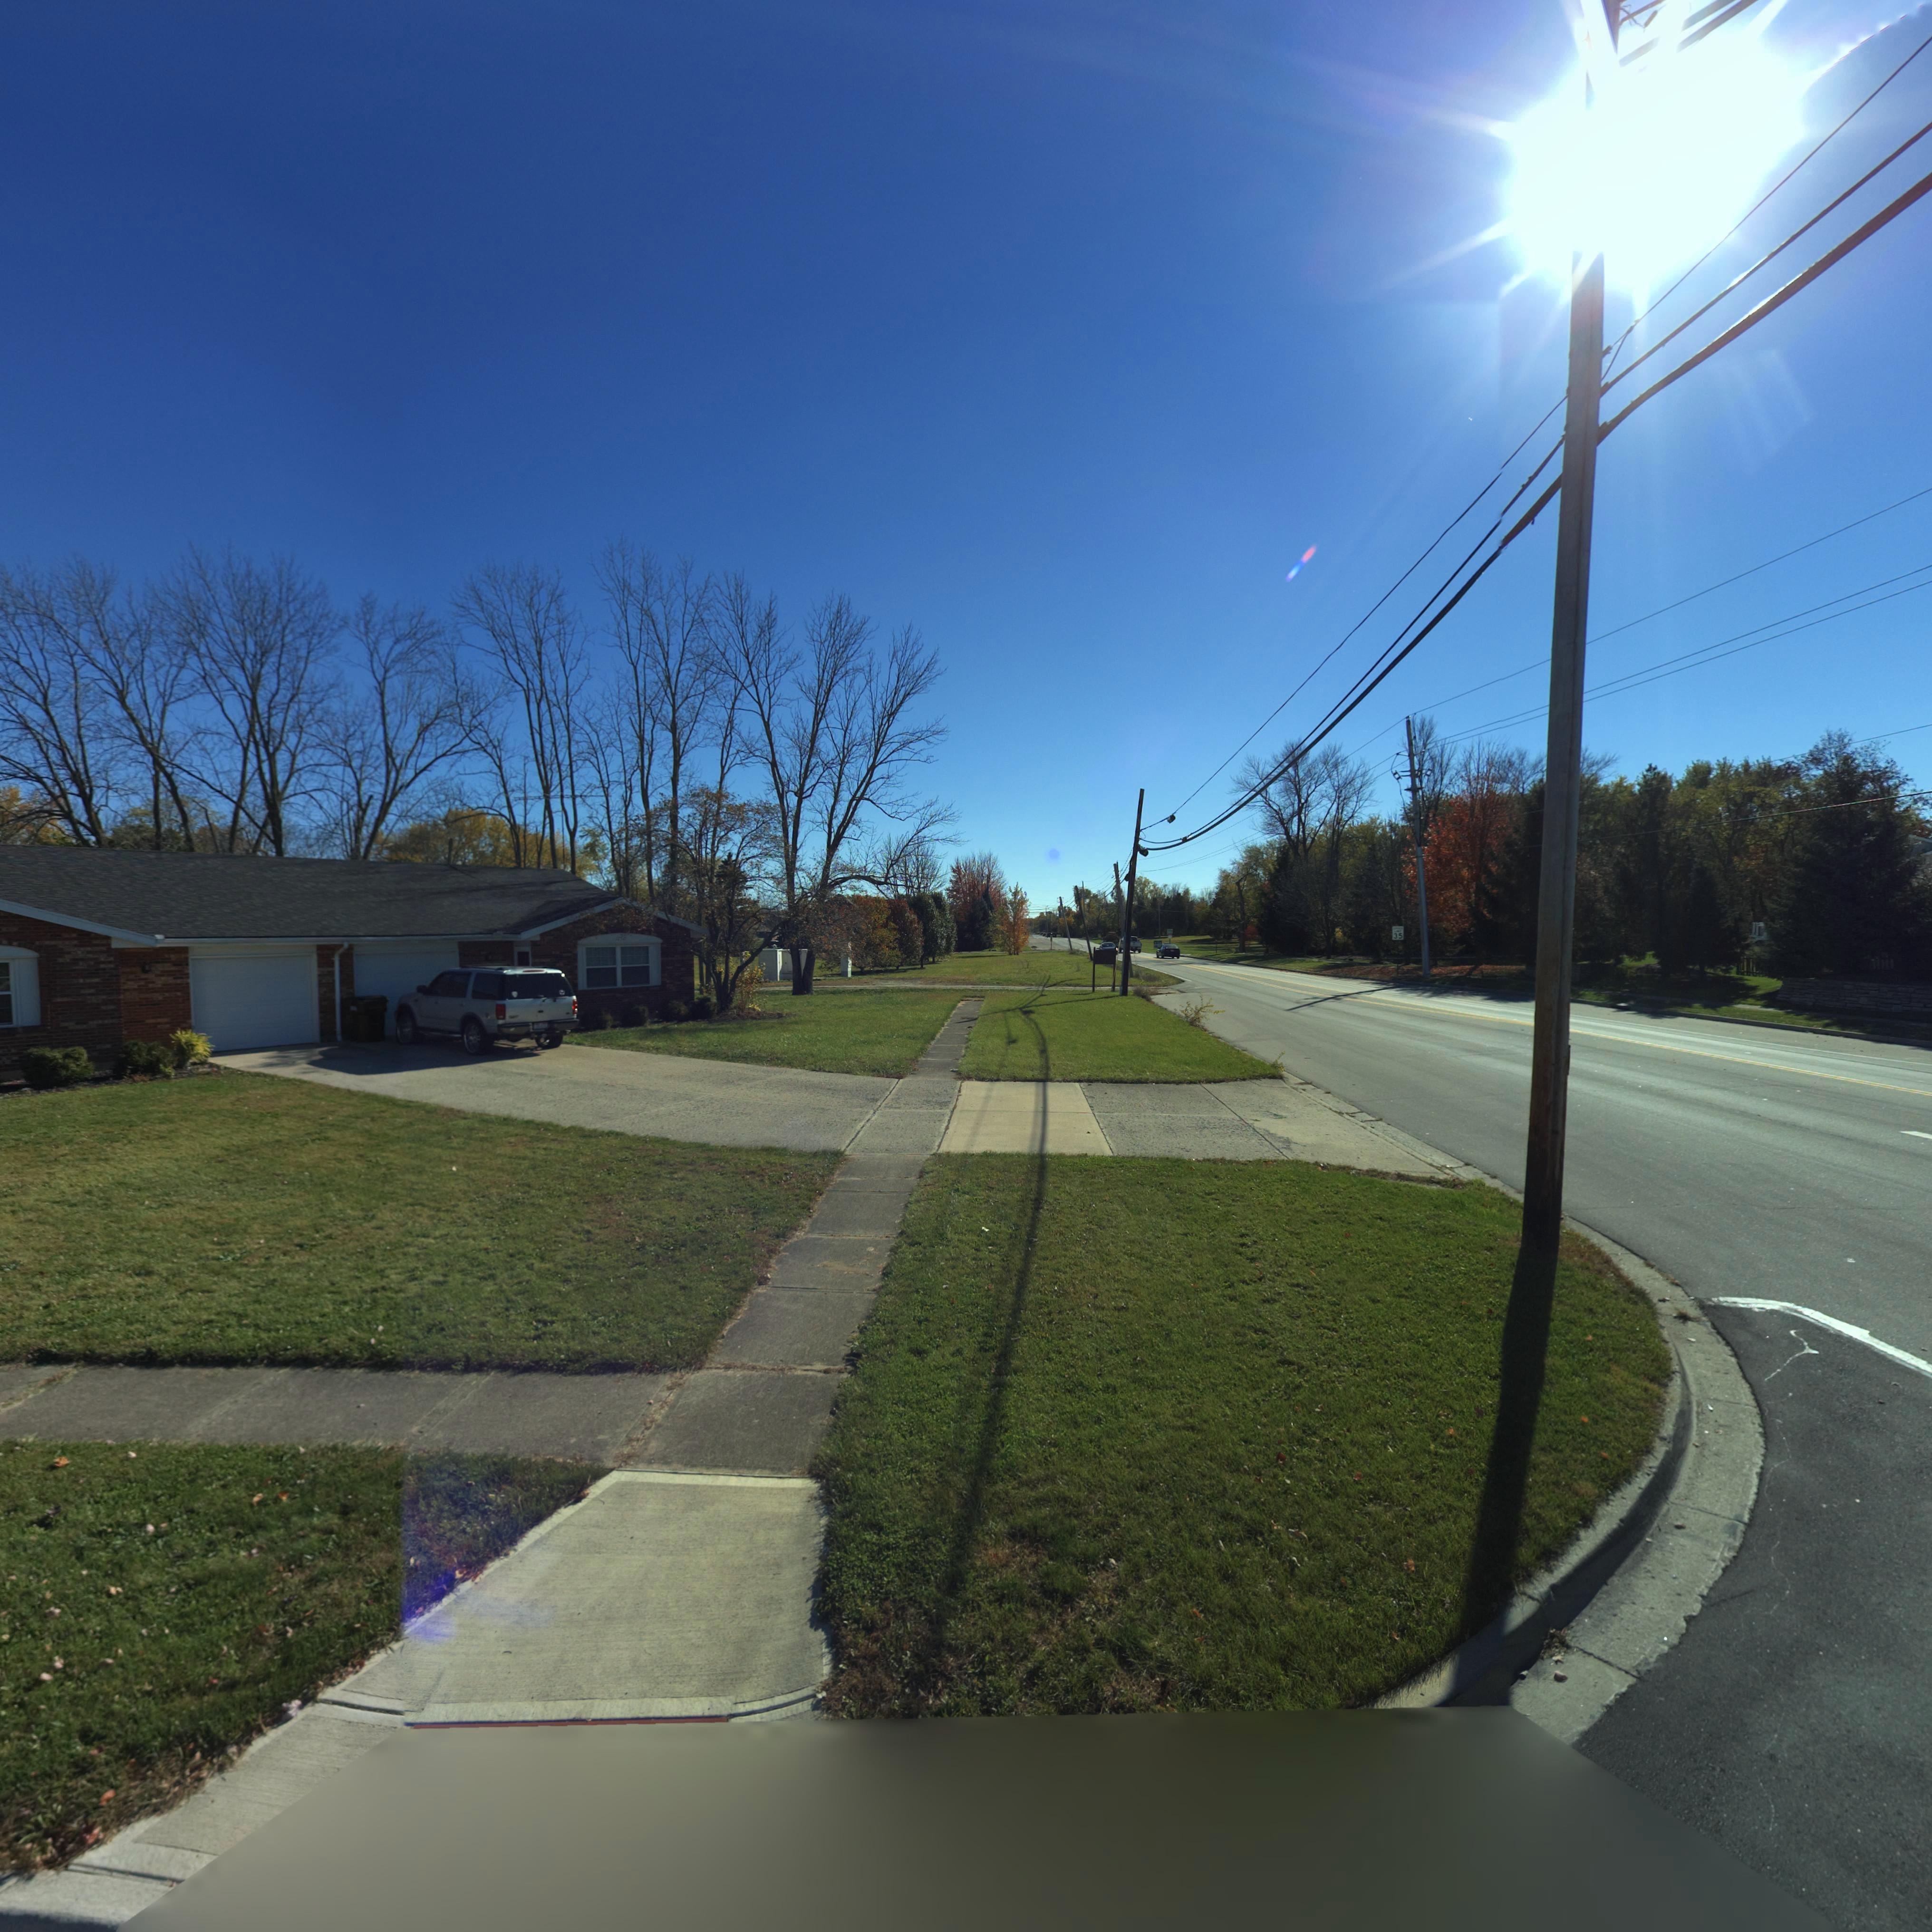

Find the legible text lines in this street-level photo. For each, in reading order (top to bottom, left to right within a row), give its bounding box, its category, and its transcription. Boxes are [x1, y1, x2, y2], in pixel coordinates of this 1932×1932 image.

[615, 936, 618, 941] StreetNumber: 1